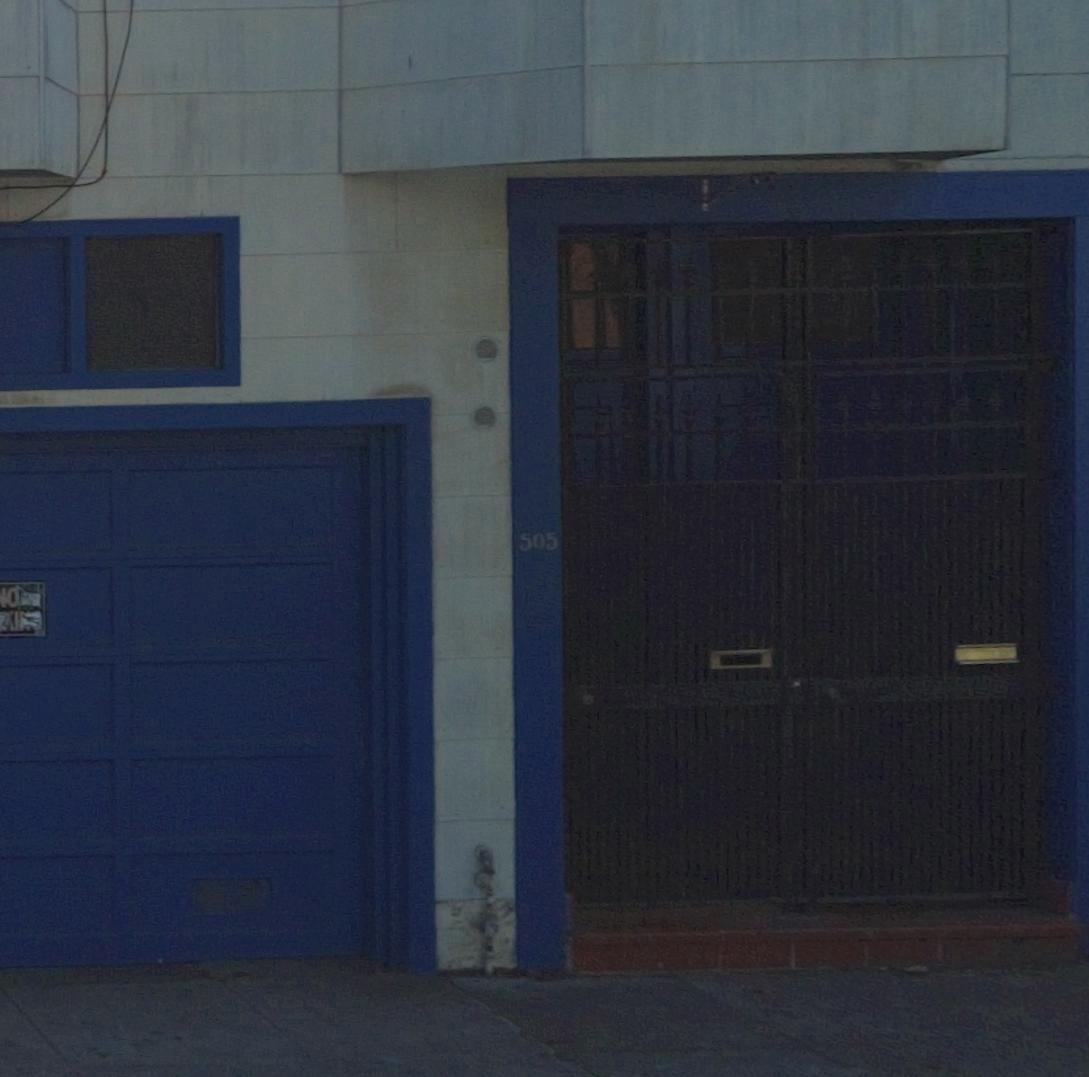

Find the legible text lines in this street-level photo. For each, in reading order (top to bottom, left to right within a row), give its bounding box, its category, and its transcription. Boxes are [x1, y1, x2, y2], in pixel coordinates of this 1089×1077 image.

[517, 530, 561, 553] StreetNumber: 505
[5, 586, 22, 609] None: O